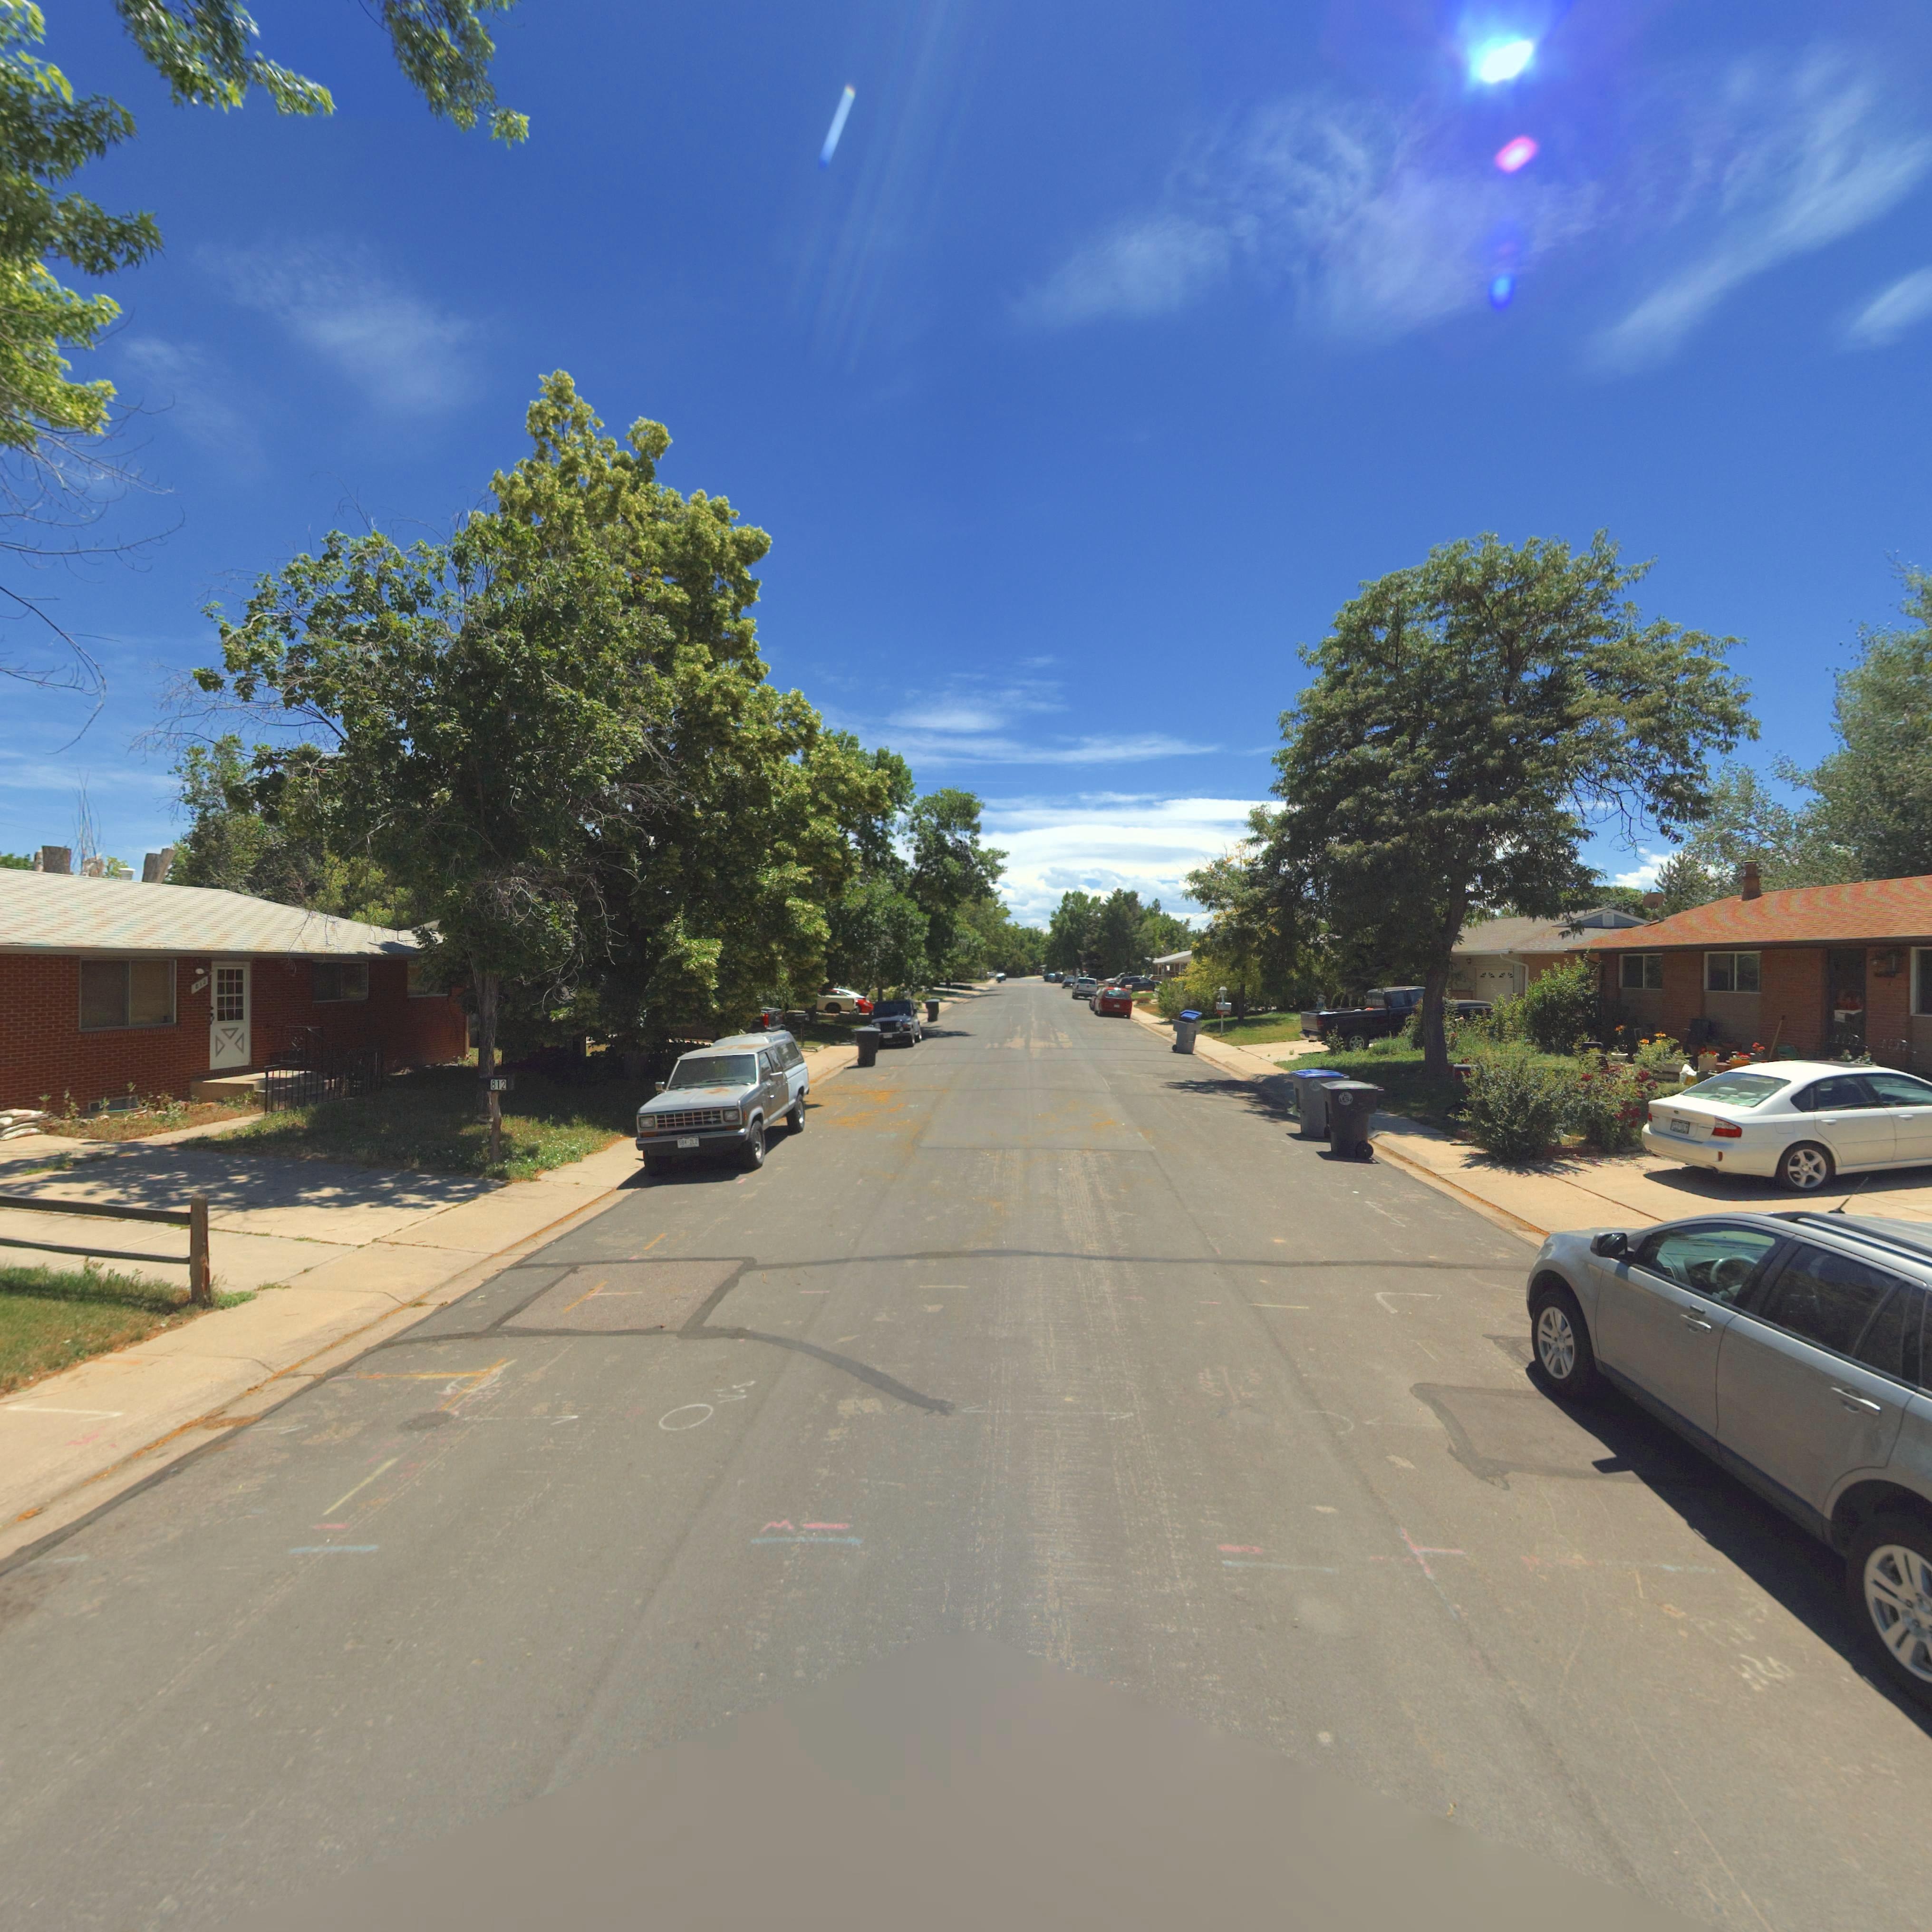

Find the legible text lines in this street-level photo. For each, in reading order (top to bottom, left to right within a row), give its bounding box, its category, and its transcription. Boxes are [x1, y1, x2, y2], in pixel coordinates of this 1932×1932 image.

[195, 978, 205, 989] StreetNumber: 812
[491, 1079, 505, 1090] StreetNumber: 812